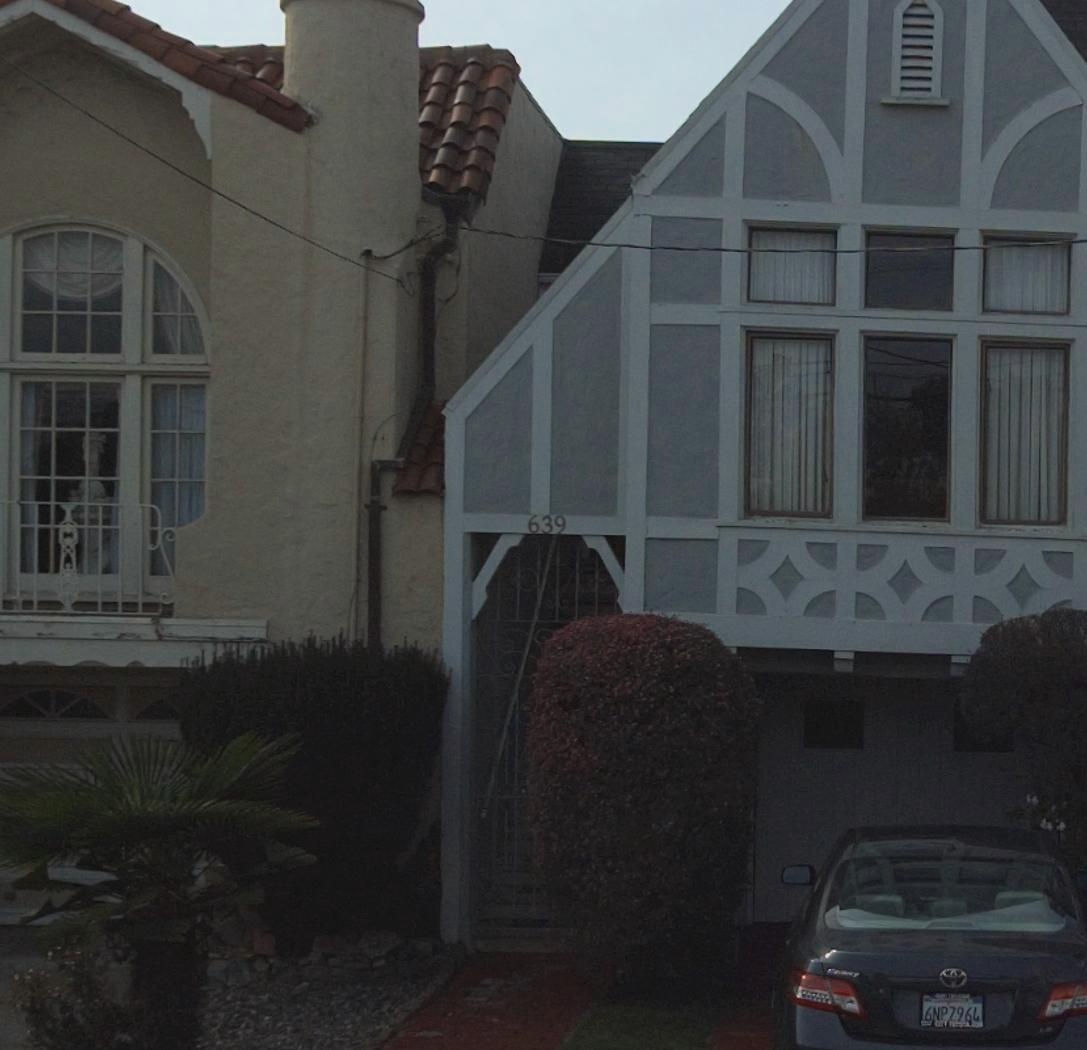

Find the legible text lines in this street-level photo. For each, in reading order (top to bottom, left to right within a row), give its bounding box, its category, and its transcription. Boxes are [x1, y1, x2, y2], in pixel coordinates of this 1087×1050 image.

[526, 513, 568, 535] StreetNumber: 639
[923, 1004, 980, 1024] None: 6NPZ964